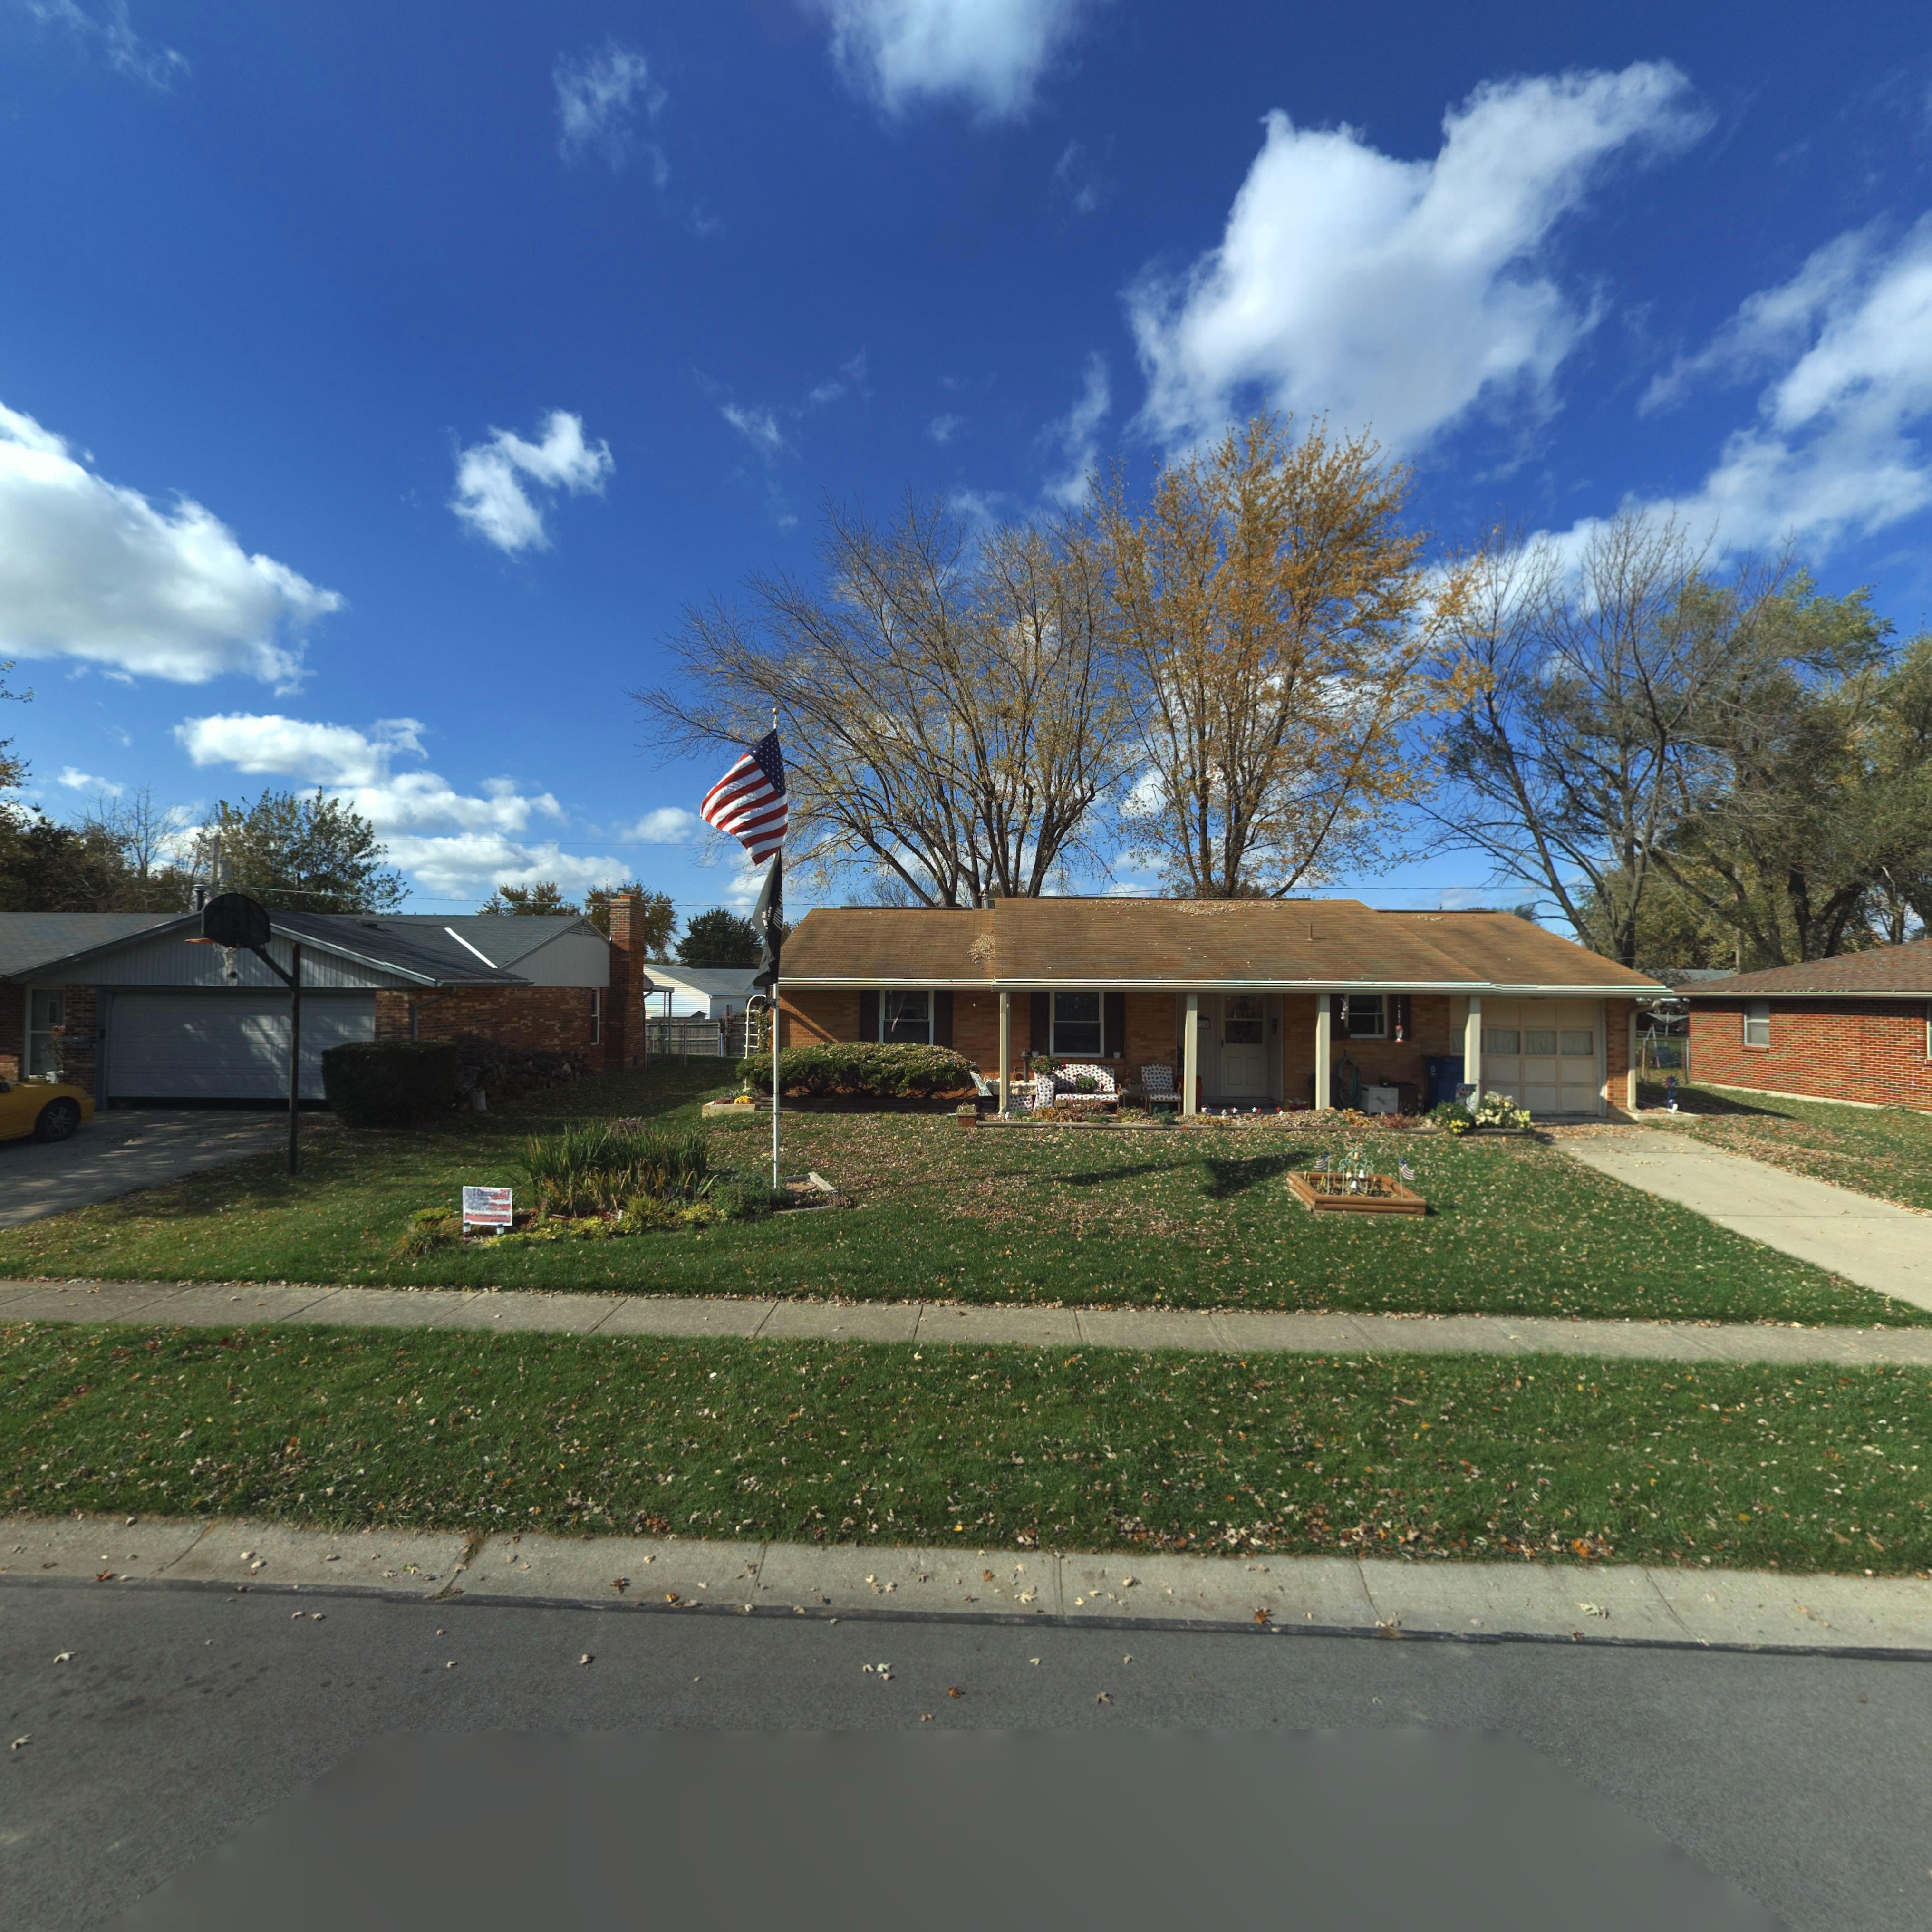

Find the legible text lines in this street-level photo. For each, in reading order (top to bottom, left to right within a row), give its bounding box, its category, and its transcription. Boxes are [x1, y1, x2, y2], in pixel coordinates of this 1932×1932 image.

[1199, 1021, 1207, 1027] StreetNumber: 36
[66, 1043, 72, 1049] StreetNumber: 7*